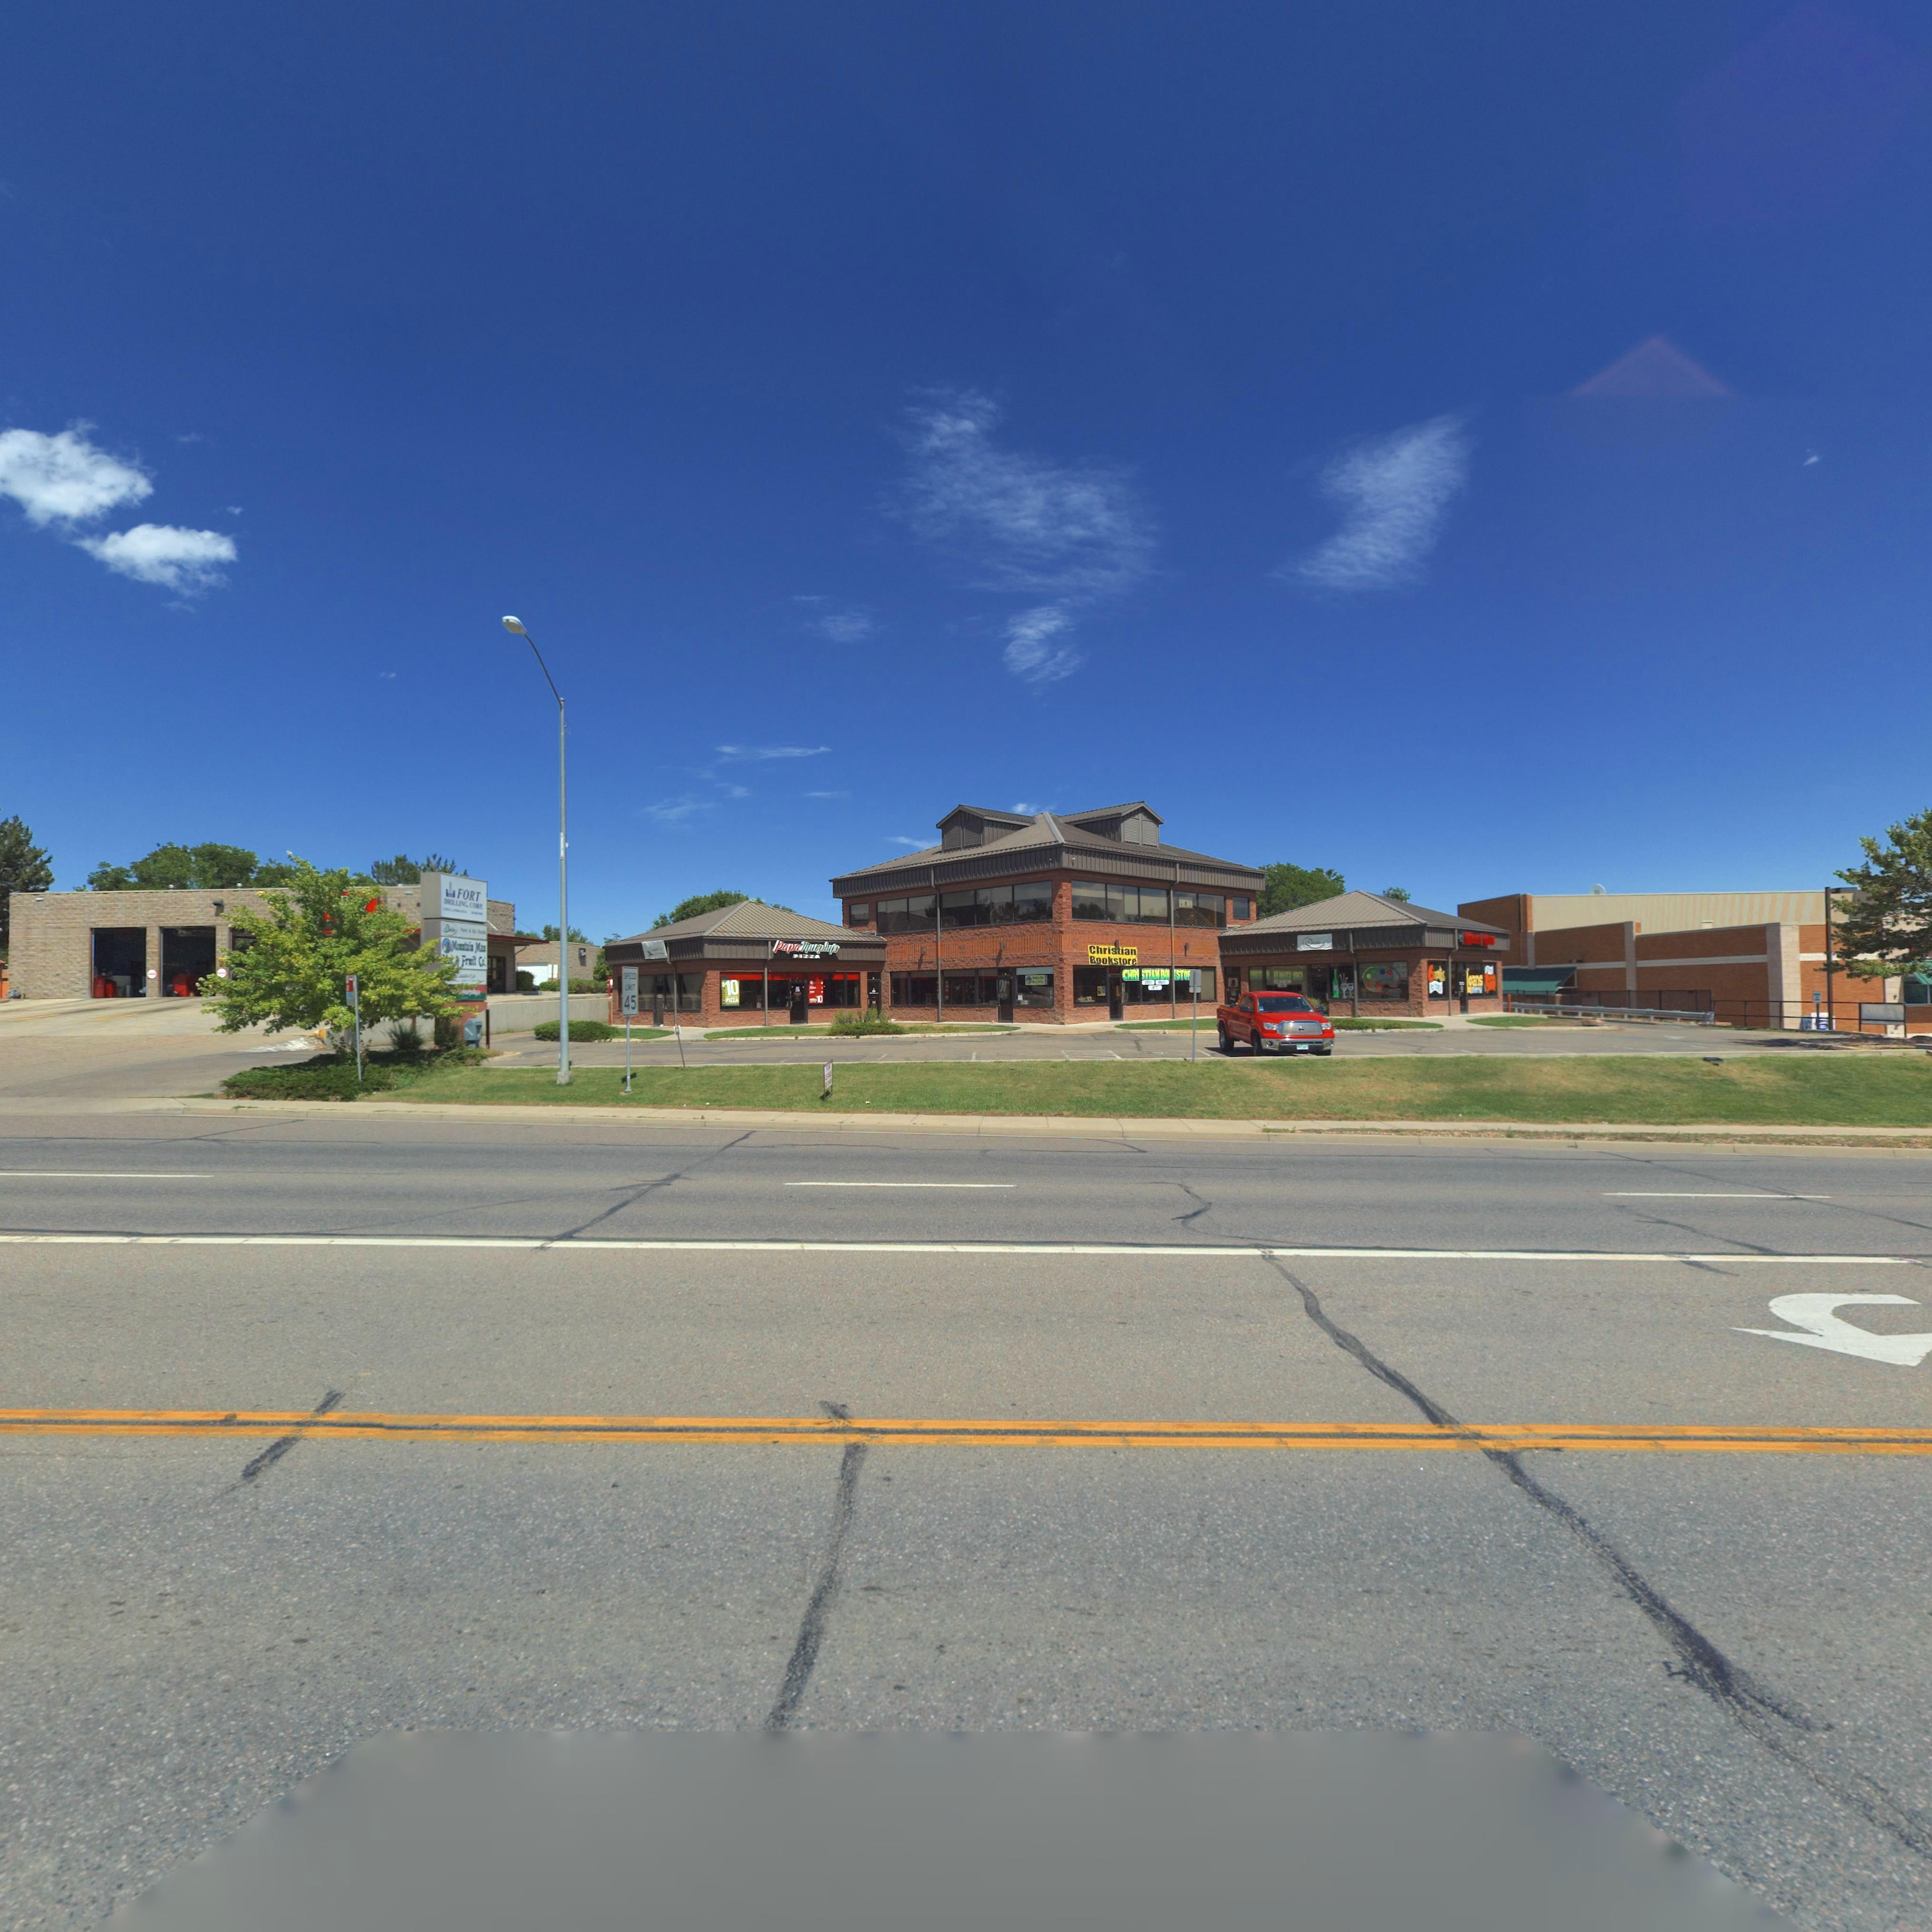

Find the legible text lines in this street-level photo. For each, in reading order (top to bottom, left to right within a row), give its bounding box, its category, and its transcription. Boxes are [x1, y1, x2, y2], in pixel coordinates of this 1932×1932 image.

[456, 888, 482, 901] BusinessName: FORT
[444, 898, 483, 909] BusinessName: DRILLING CORP.
[460, 927, 468, 933] BusinessName: P***
[444, 954, 486, 967] BusinessName: *** Fruit Co.
[451, 940, 486, 953] BusinessName: Mountain Man
[772, 939, 840, 955] BusinessName: Papa Murphy's
[792, 953, 821, 959] BusinessName: PIZZA
[1089, 945, 1137, 956] BusinessName: Christian
[1090, 955, 1137, 965] BusinessName: Bookstore
[1121, 968, 1191, 981] BusinessName: CHRISTIAN BO**STO*